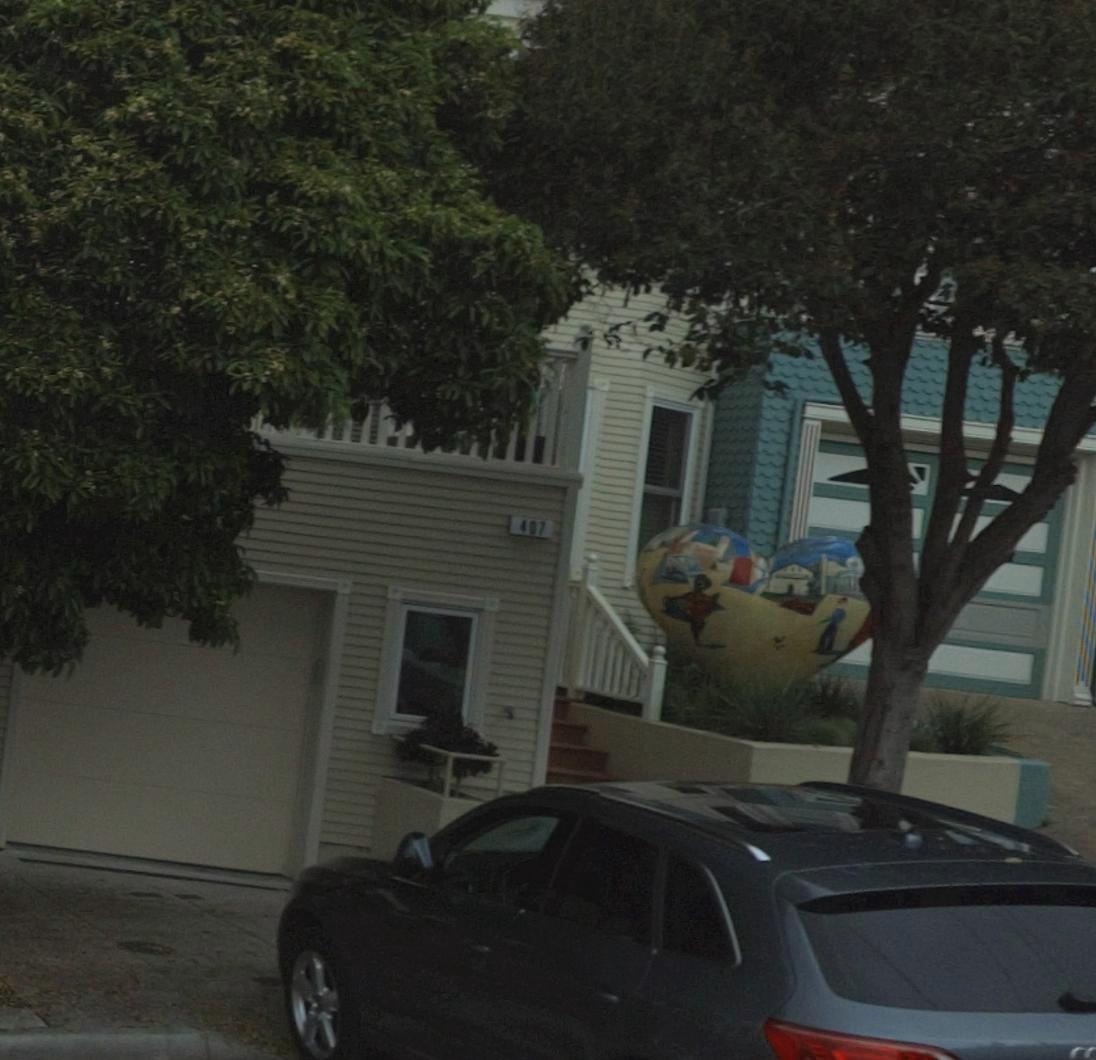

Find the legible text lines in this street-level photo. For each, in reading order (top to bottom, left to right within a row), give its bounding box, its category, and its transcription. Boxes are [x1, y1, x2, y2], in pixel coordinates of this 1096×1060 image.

[519, 519, 547, 537] StreetNumber: 407